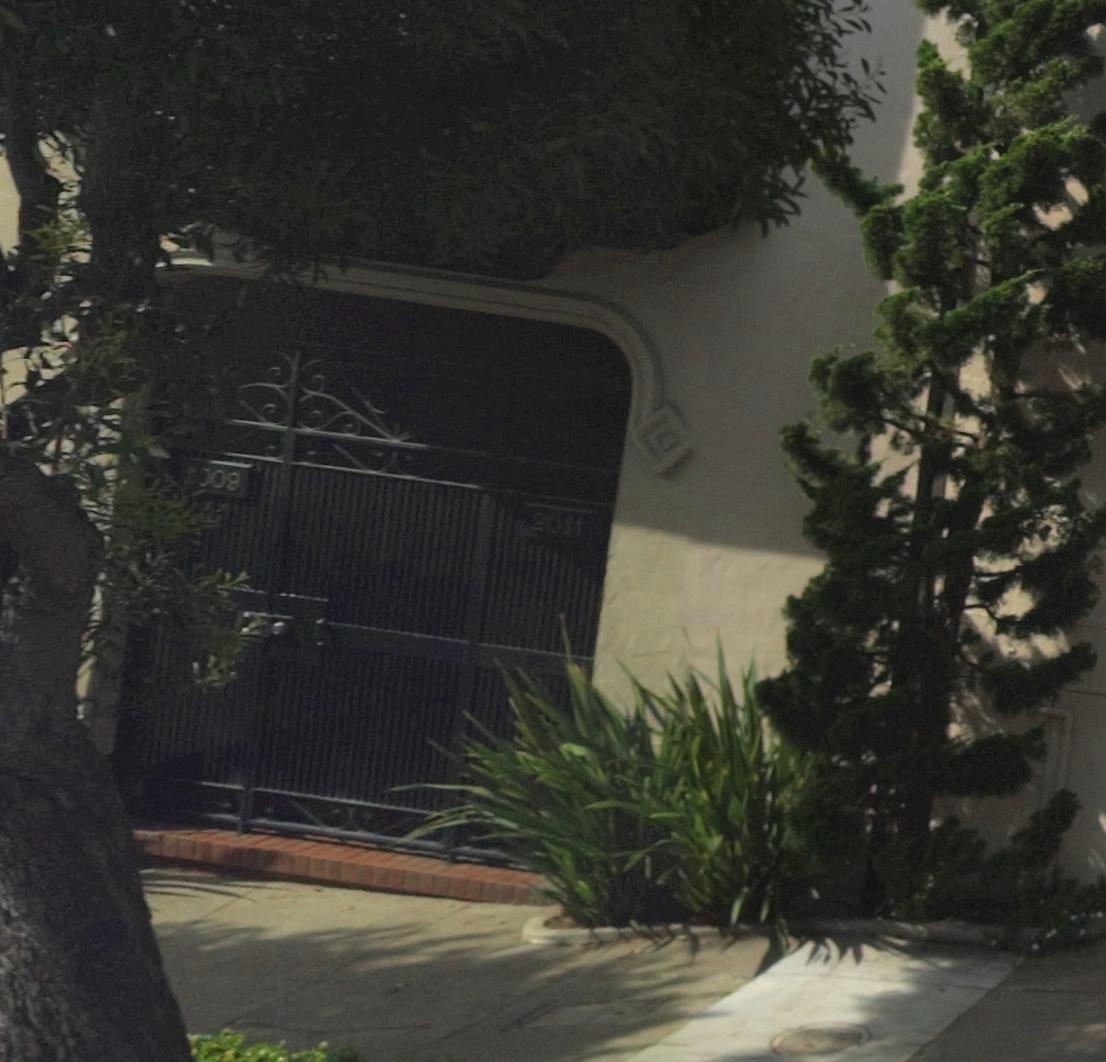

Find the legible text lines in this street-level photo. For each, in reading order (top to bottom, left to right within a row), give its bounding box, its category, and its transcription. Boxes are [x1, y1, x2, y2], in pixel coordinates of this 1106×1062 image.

[196, 465, 243, 494] StreetNumber: 009
[529, 509, 584, 542] StreetNumber: 2011